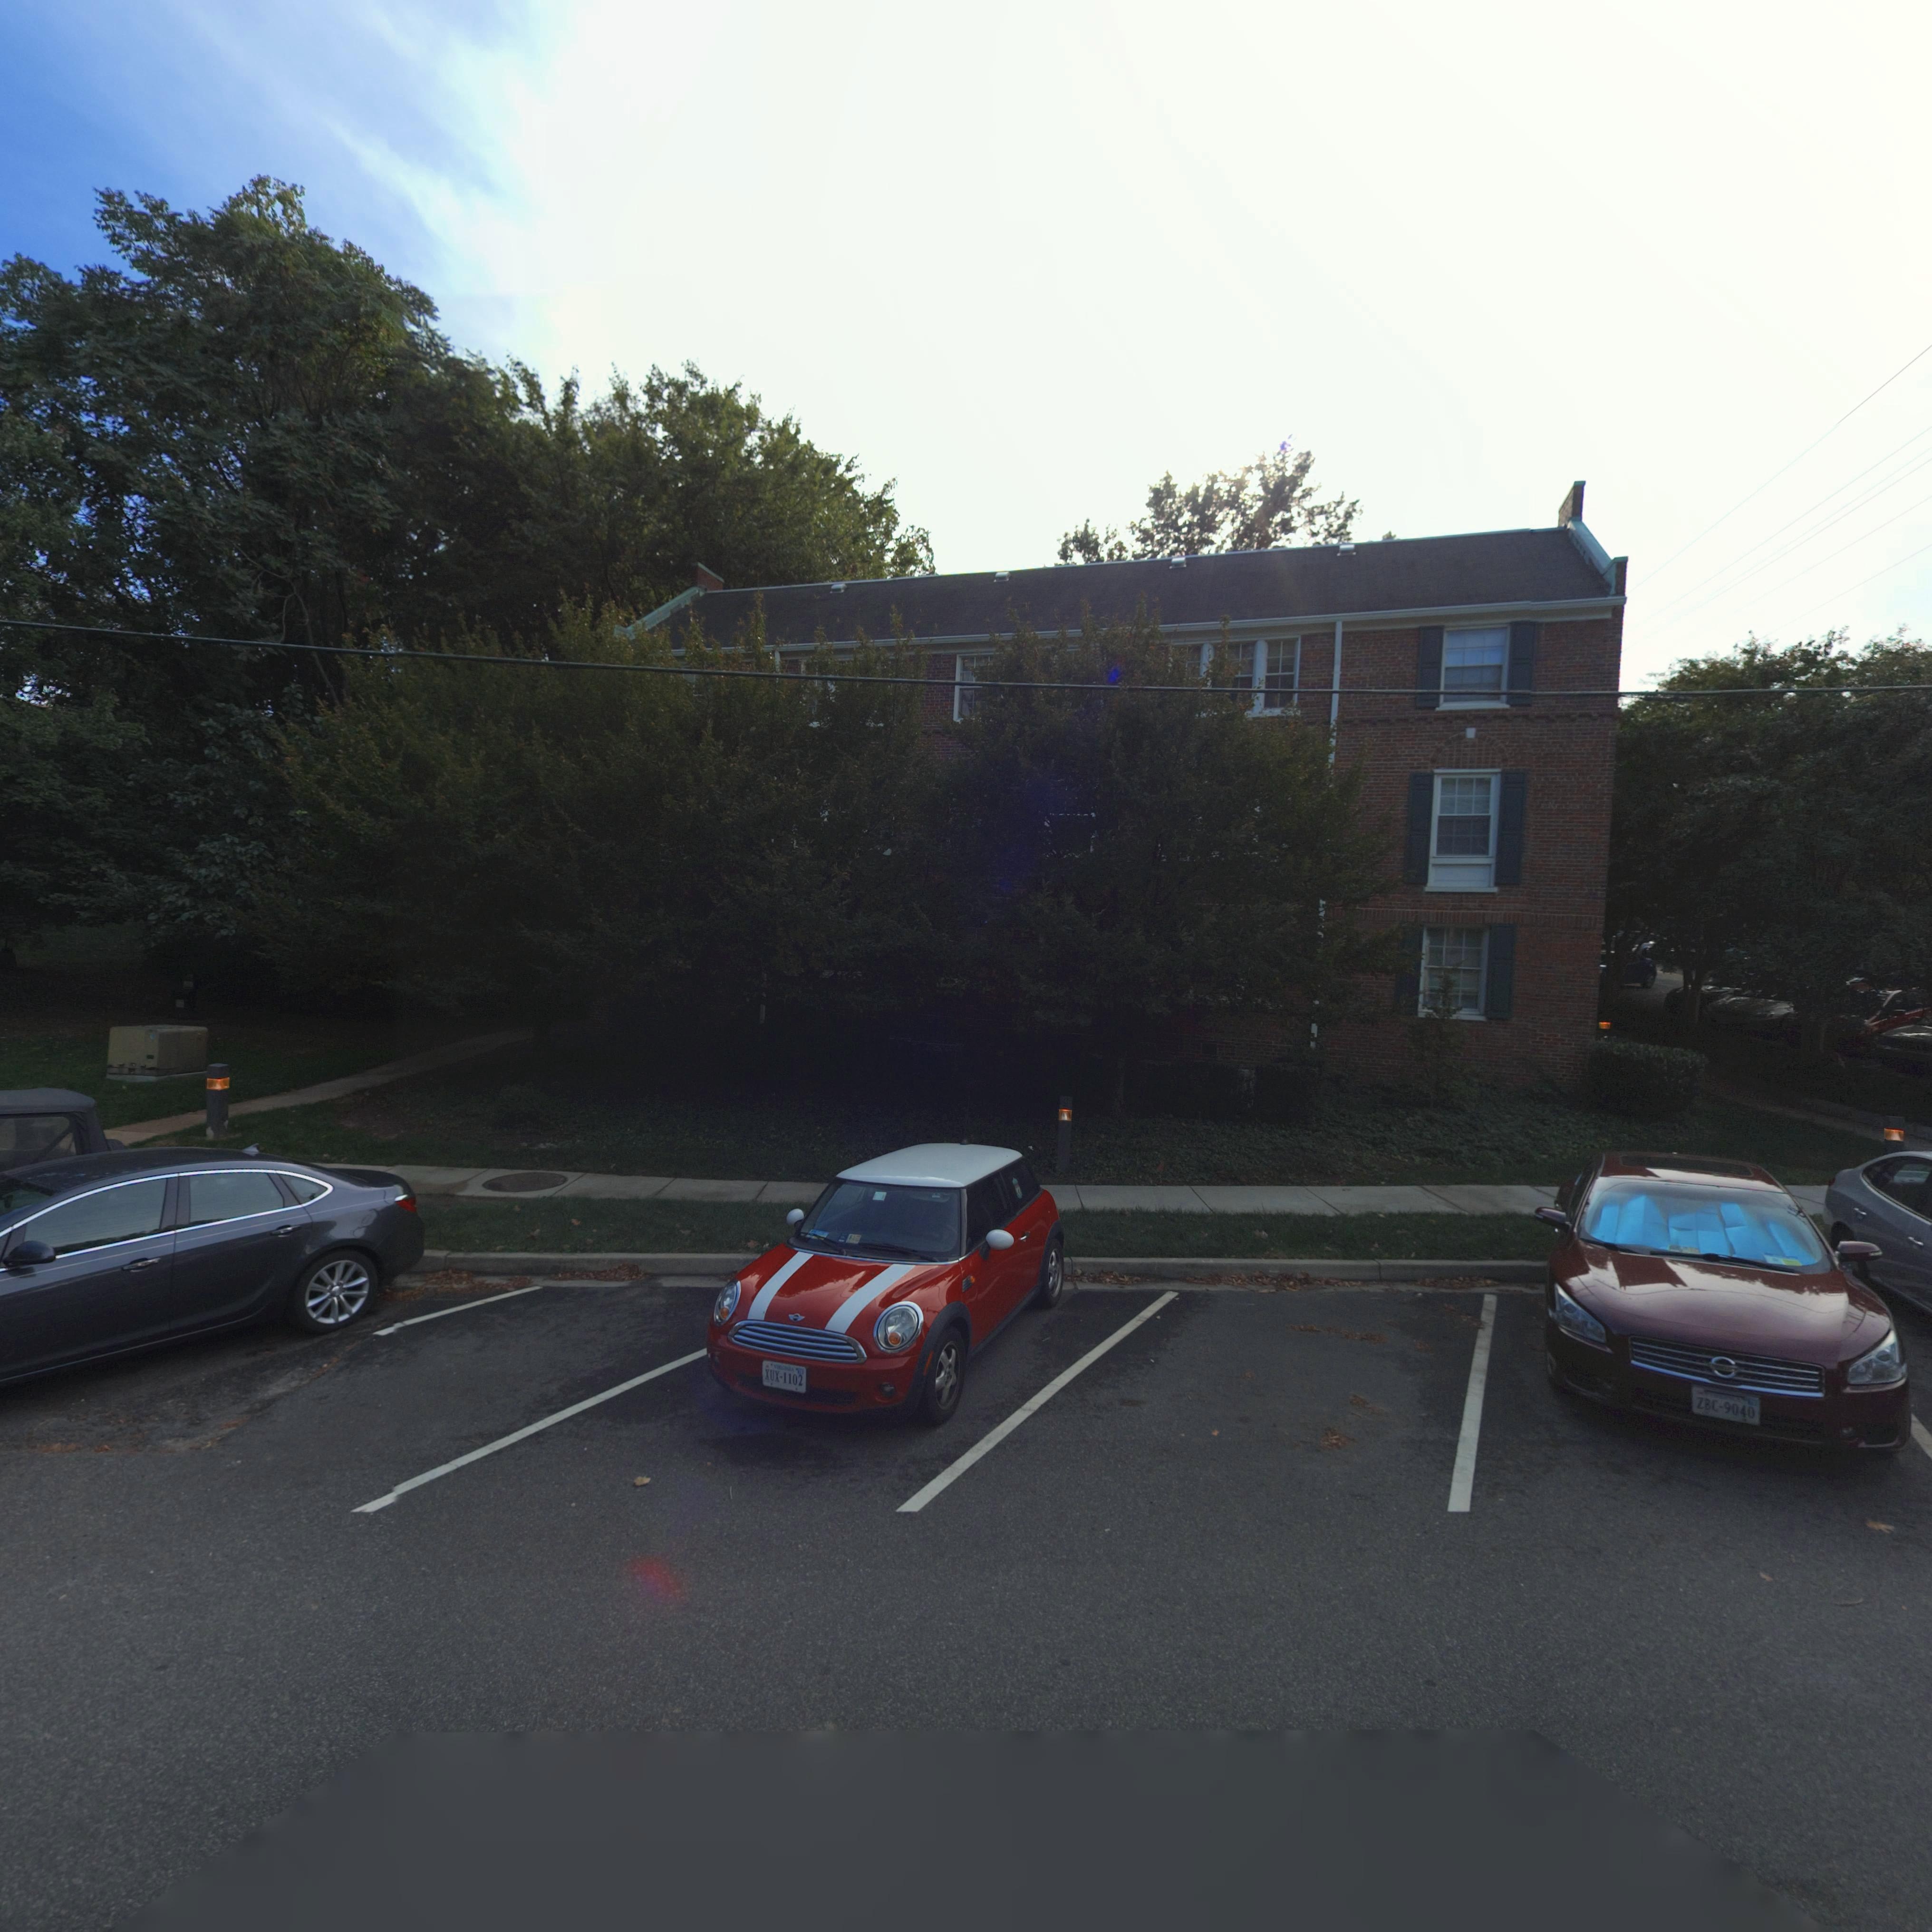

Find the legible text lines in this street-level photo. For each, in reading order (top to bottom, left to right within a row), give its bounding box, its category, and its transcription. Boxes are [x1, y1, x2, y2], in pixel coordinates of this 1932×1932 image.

[763, 1366, 804, 1388] None: XUX-1102
[1695, 1394, 1757, 1421] None: ZBC-9040